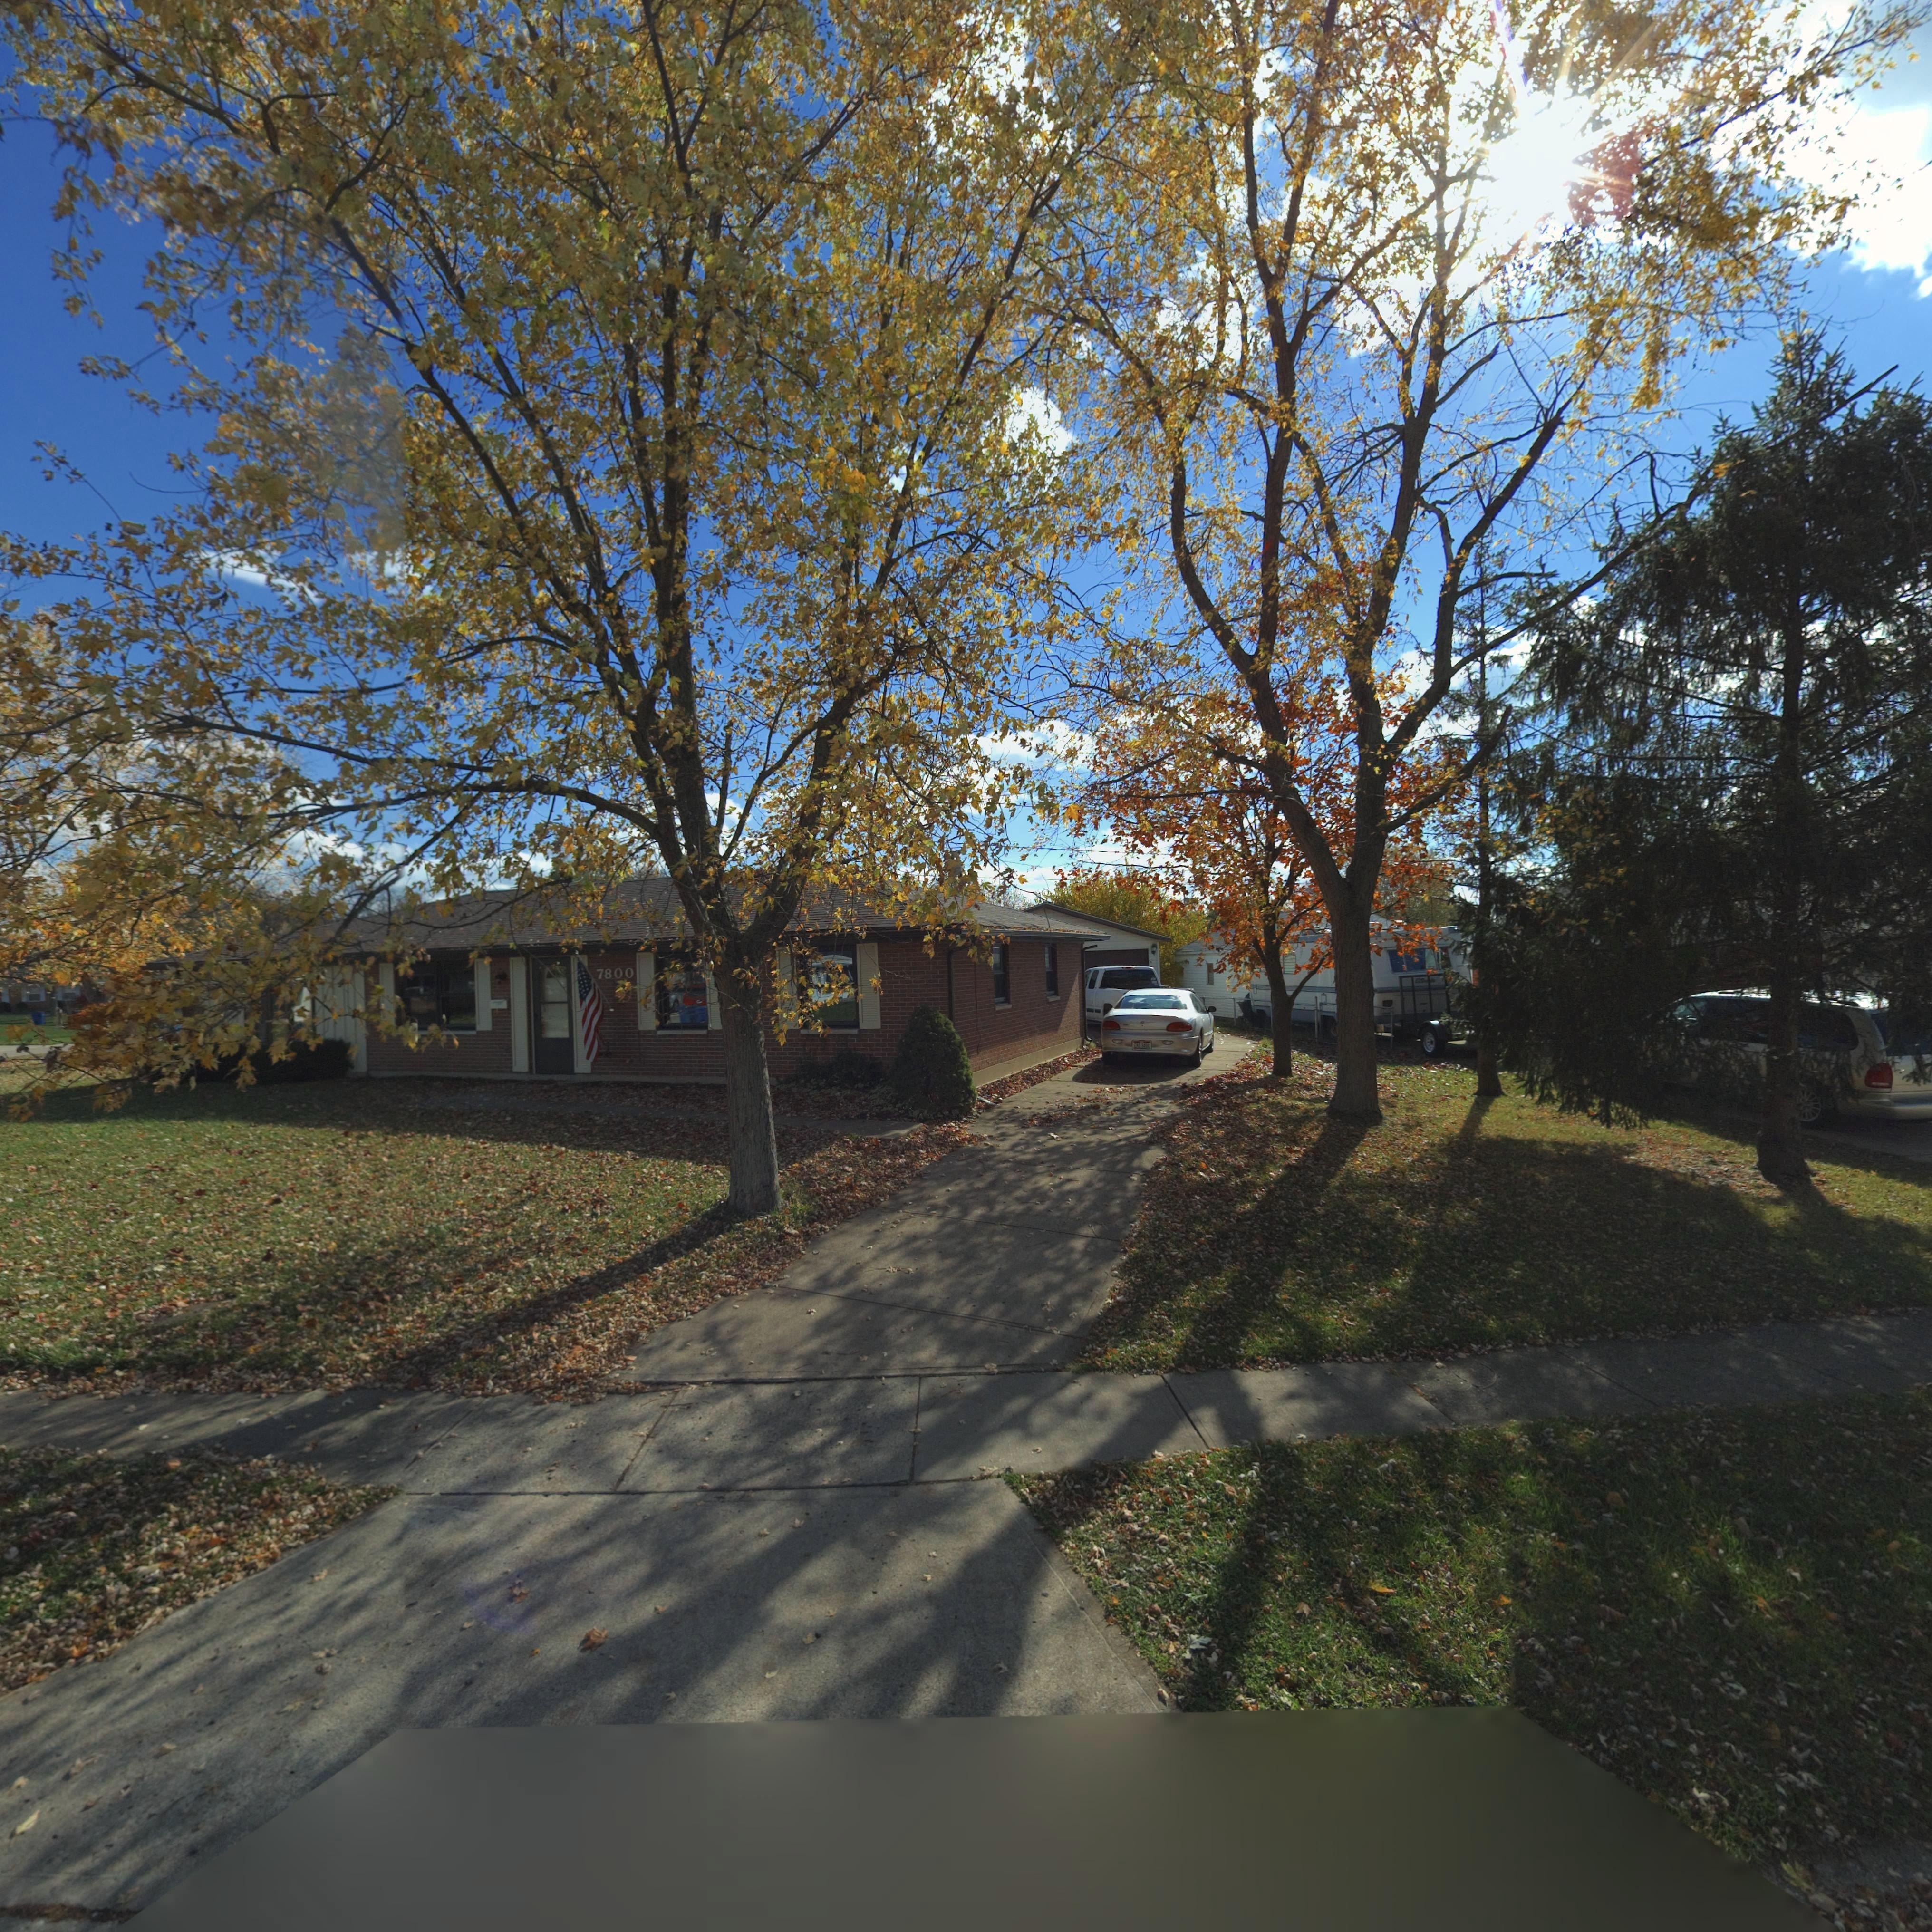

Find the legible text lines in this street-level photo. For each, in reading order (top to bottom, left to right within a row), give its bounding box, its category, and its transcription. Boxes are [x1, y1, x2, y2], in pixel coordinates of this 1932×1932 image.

[596, 967, 635, 980] StreetNumber: 7800